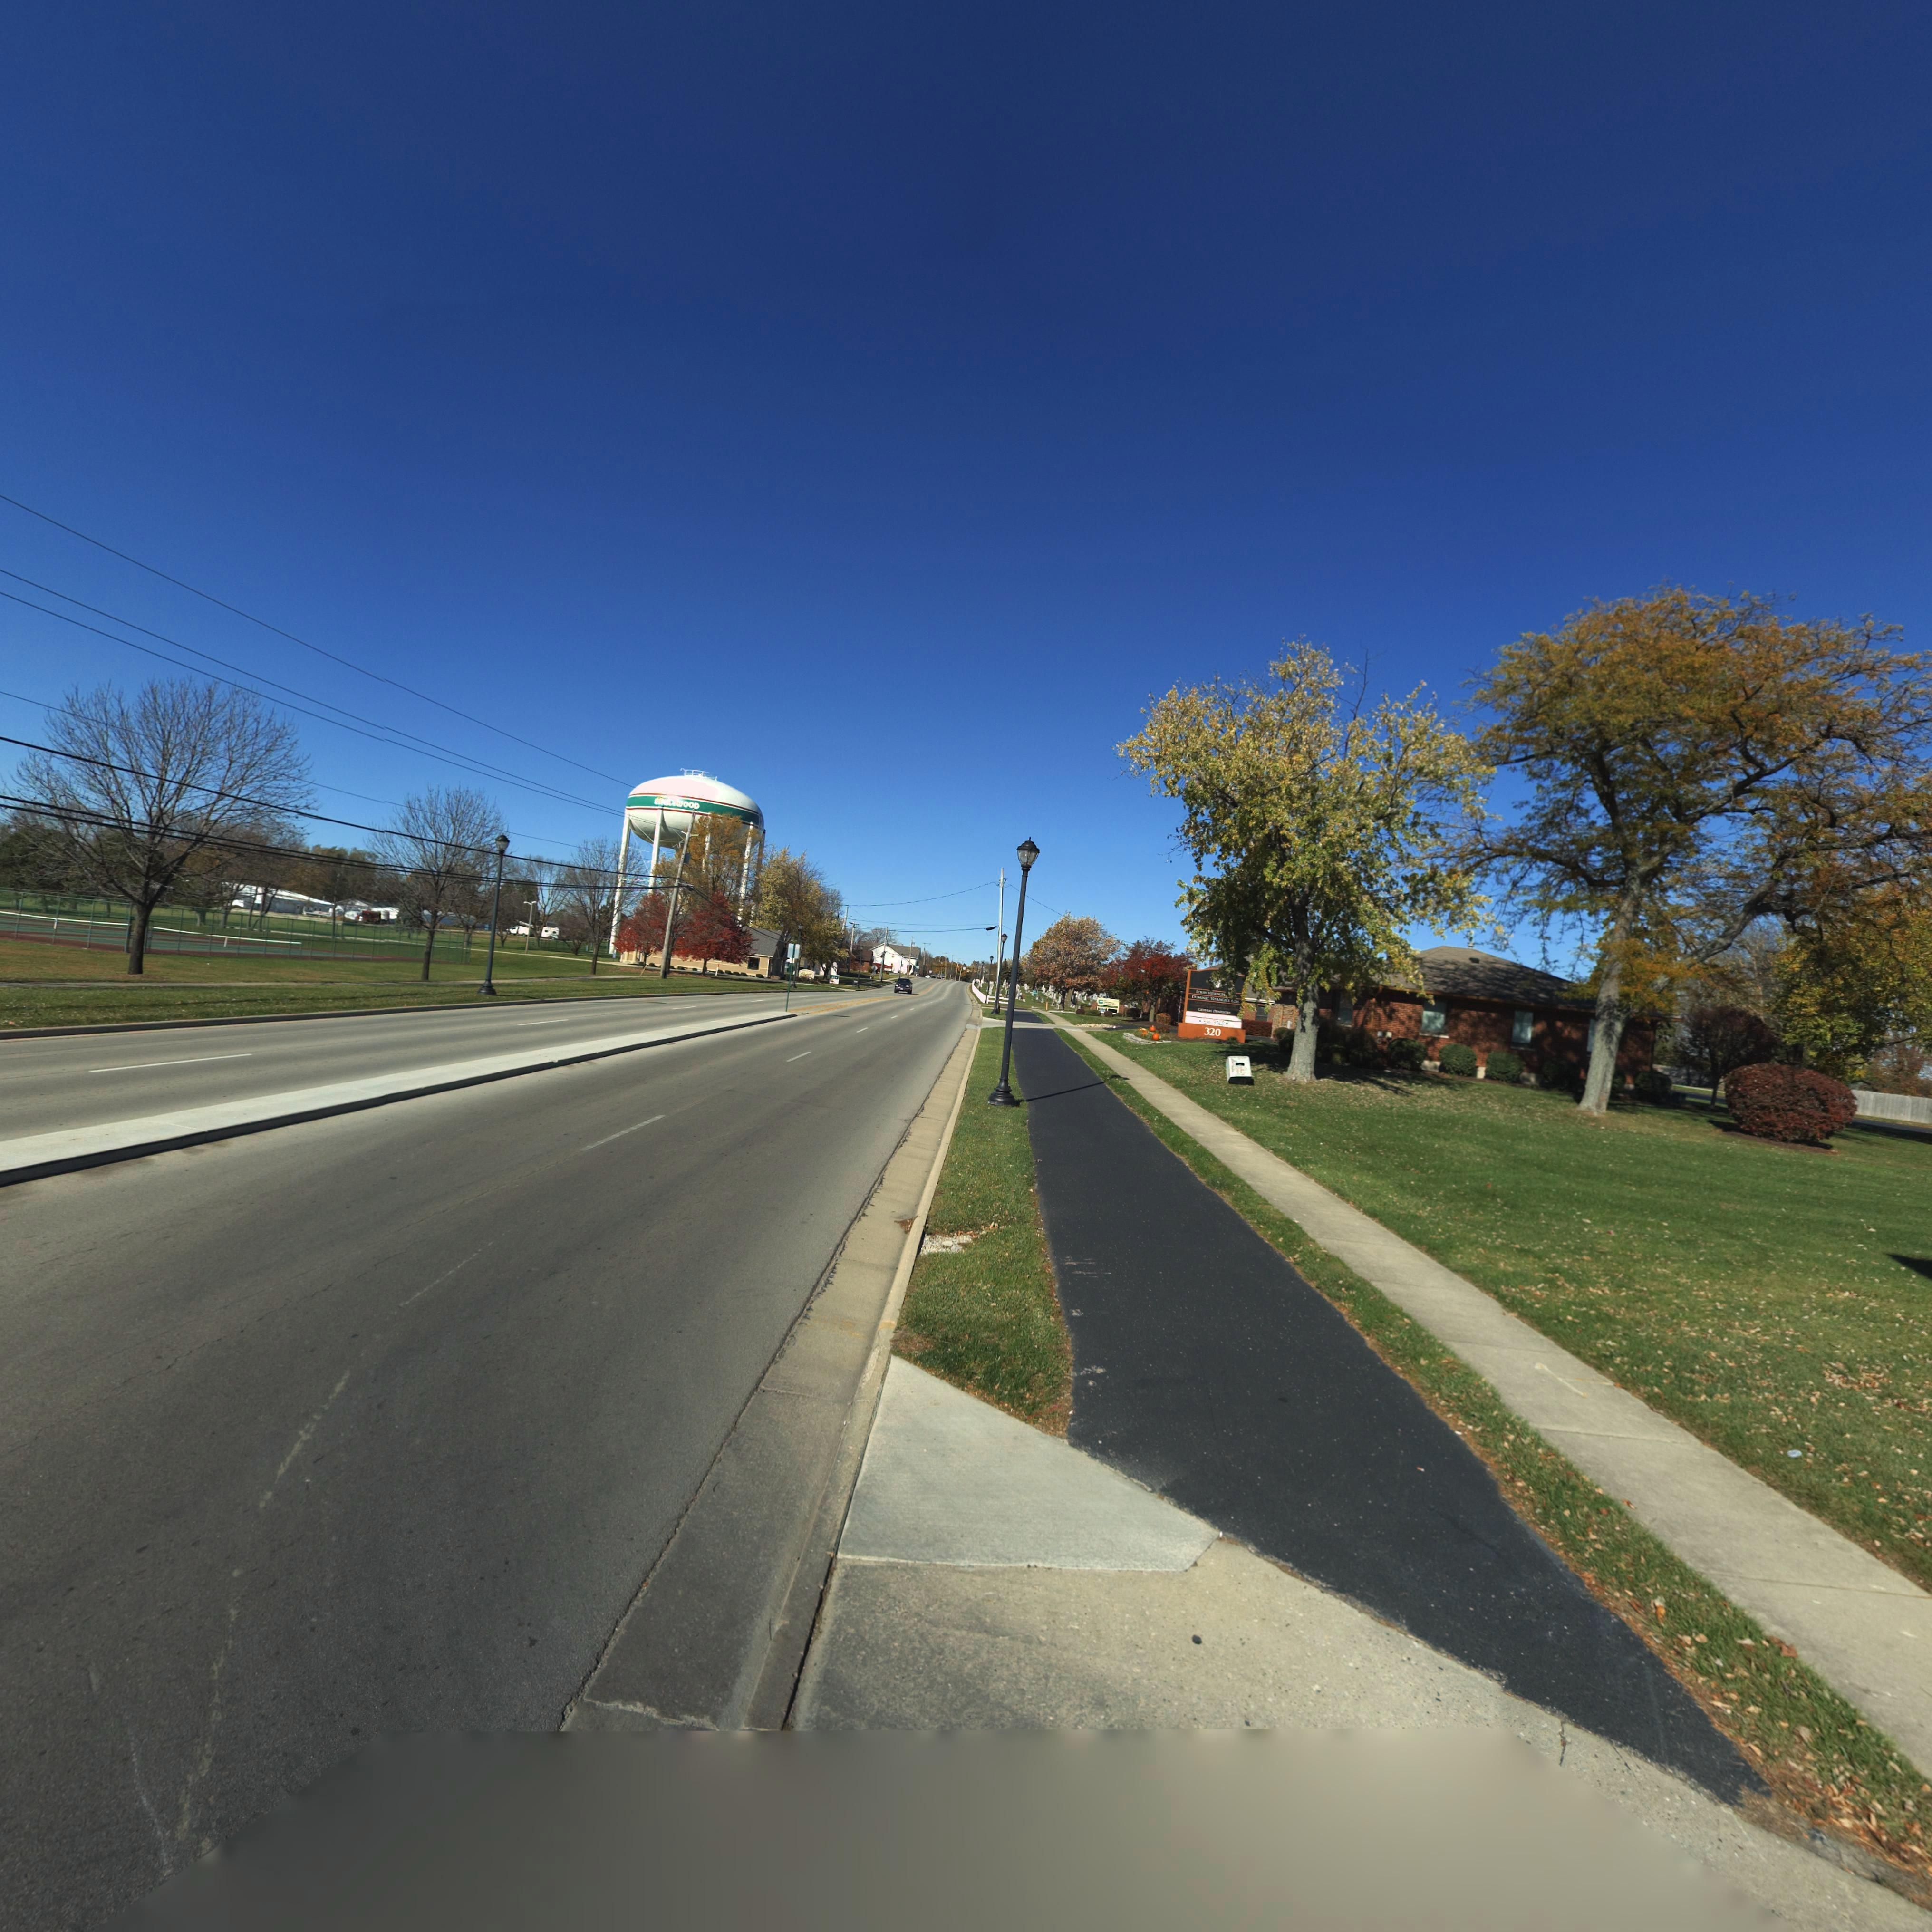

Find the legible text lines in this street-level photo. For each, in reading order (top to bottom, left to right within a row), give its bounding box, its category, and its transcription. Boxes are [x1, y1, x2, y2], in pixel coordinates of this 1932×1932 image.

[1203, 1026, 1222, 1038] StreetNumber: 320